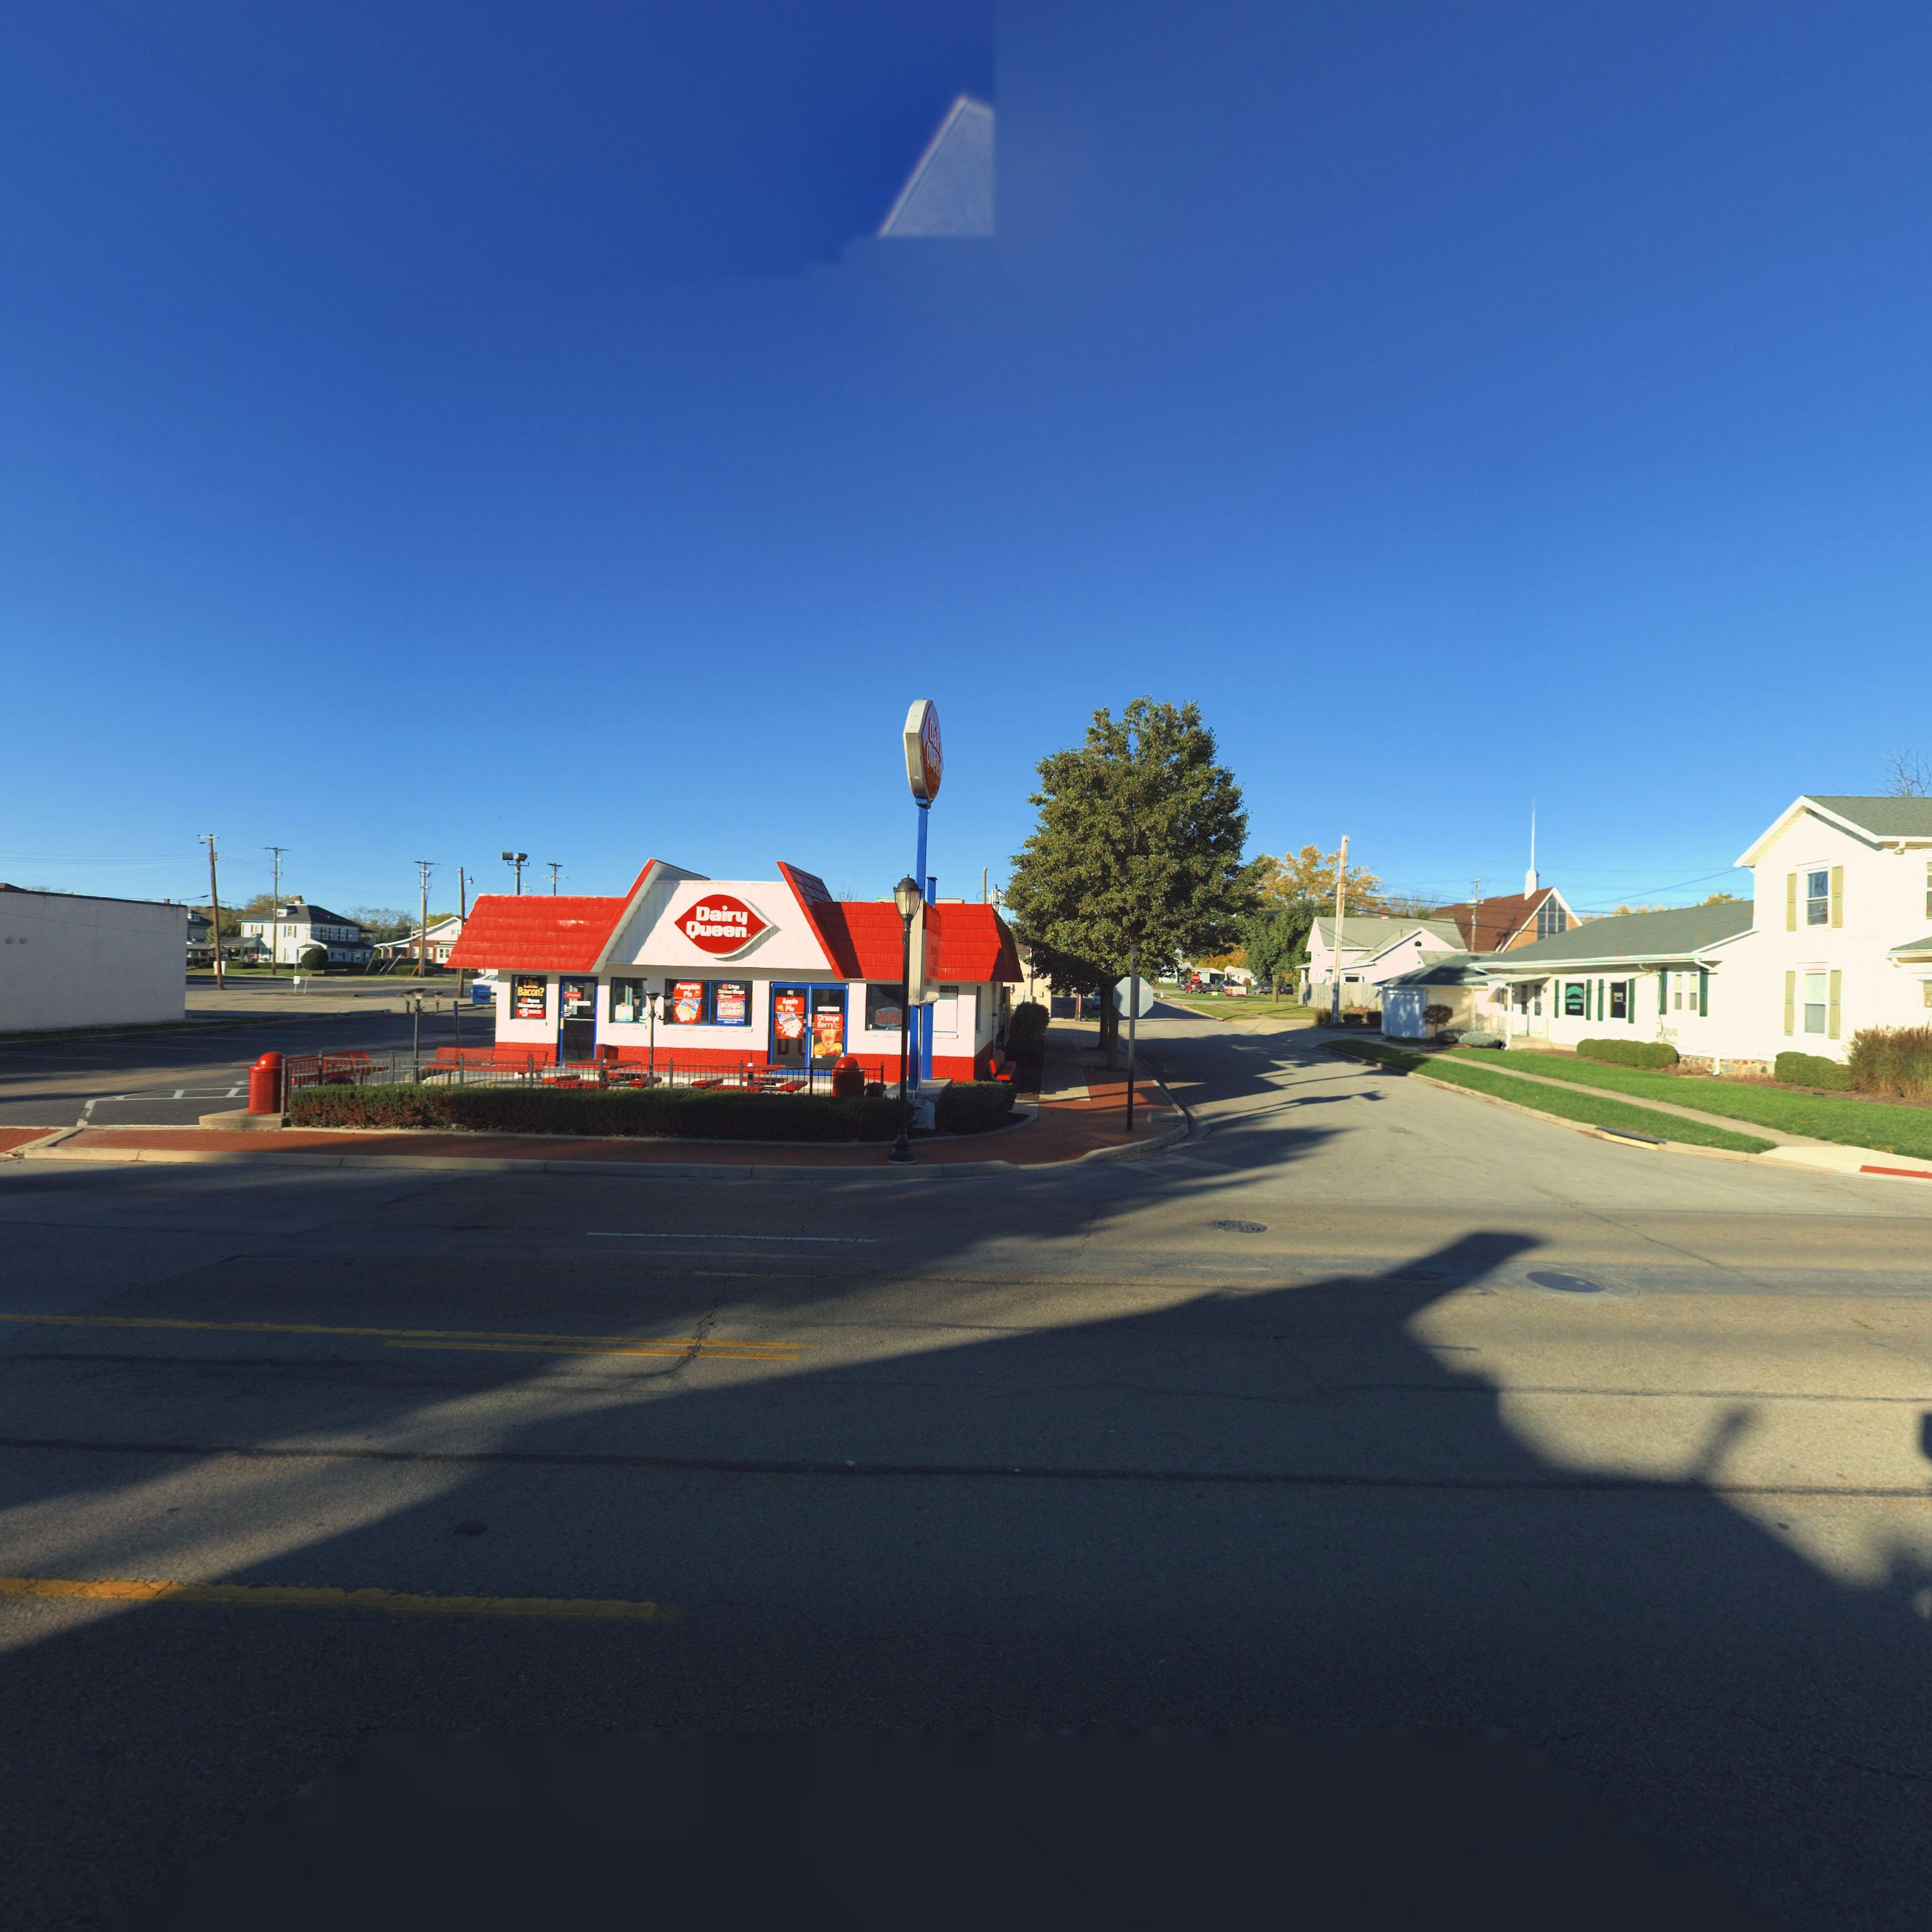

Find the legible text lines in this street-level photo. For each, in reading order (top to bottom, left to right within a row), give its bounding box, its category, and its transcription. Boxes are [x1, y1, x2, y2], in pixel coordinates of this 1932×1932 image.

[693, 903, 749, 926] BusinessName: Dairy
[685, 919, 747, 940] BusinessName: Queen
[578, 983, 584, 987] StreetNumber: *9
[787, 990, 793, 995] StreetNumber: 2*